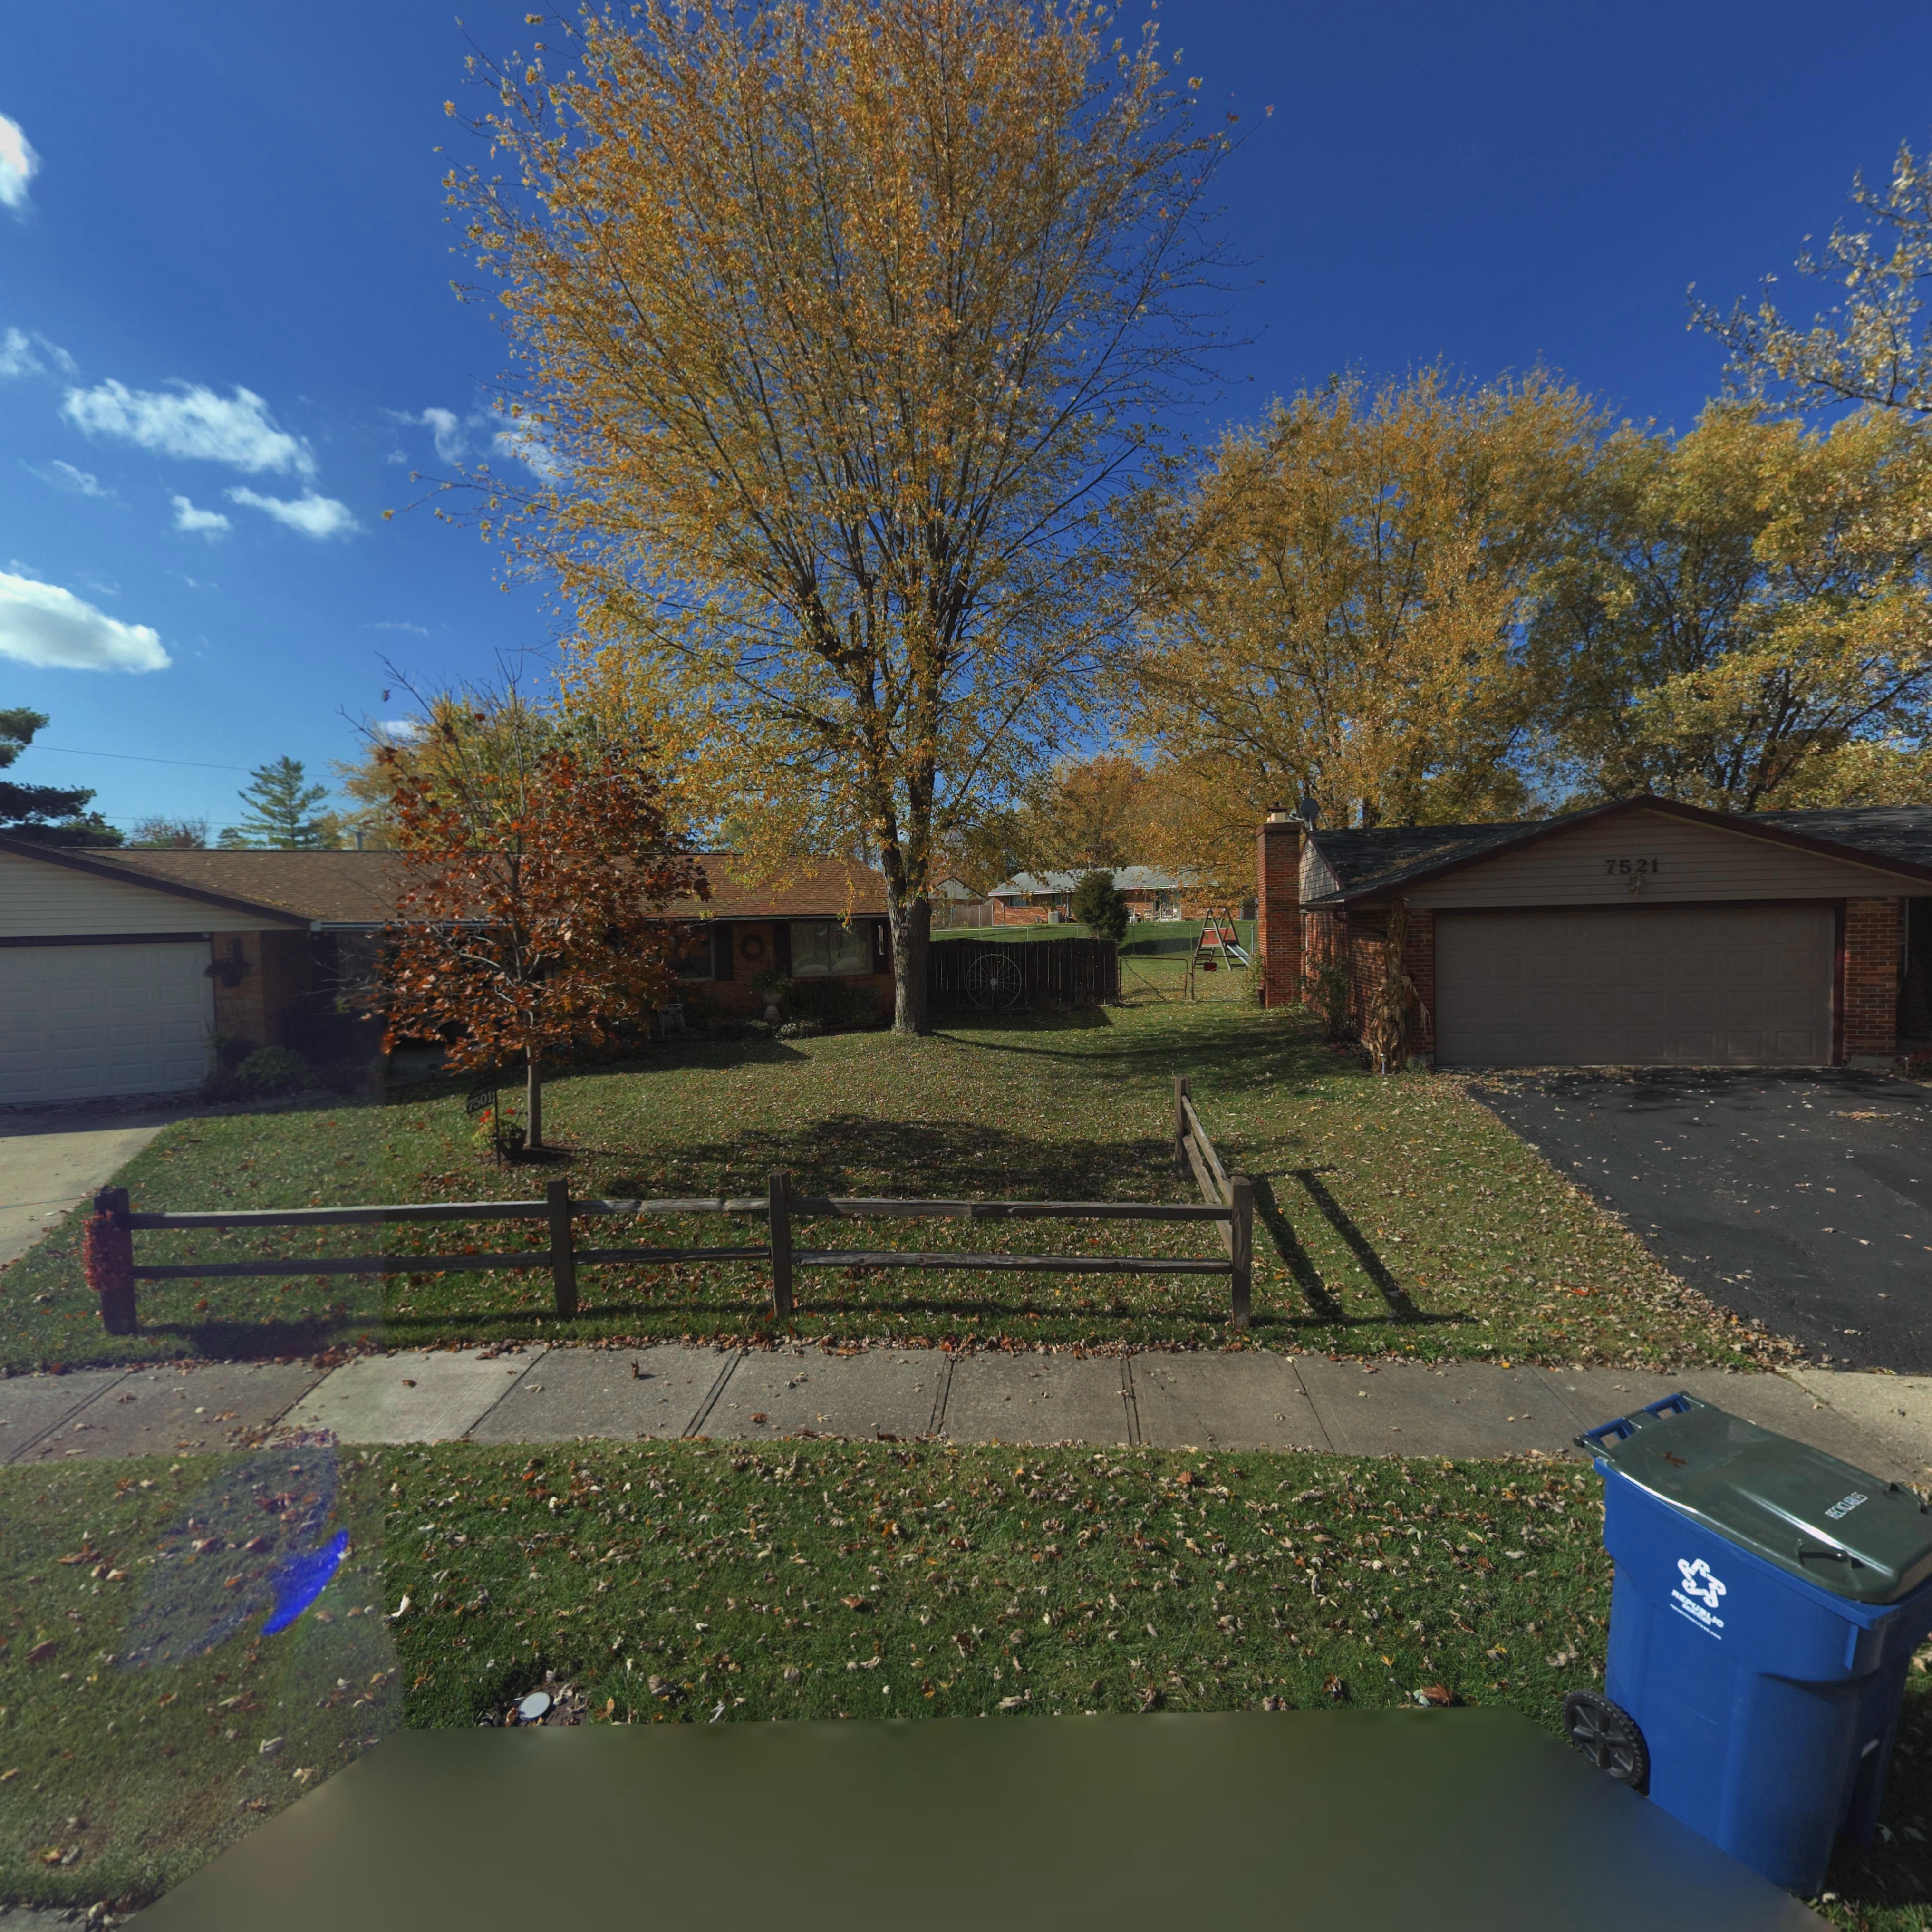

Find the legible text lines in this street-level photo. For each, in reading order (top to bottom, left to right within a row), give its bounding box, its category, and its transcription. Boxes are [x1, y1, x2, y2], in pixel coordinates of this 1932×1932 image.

[1604, 856, 1660, 876] StreetNumber: 7521
[466, 1089, 494, 1114] StreetNumber: 7501